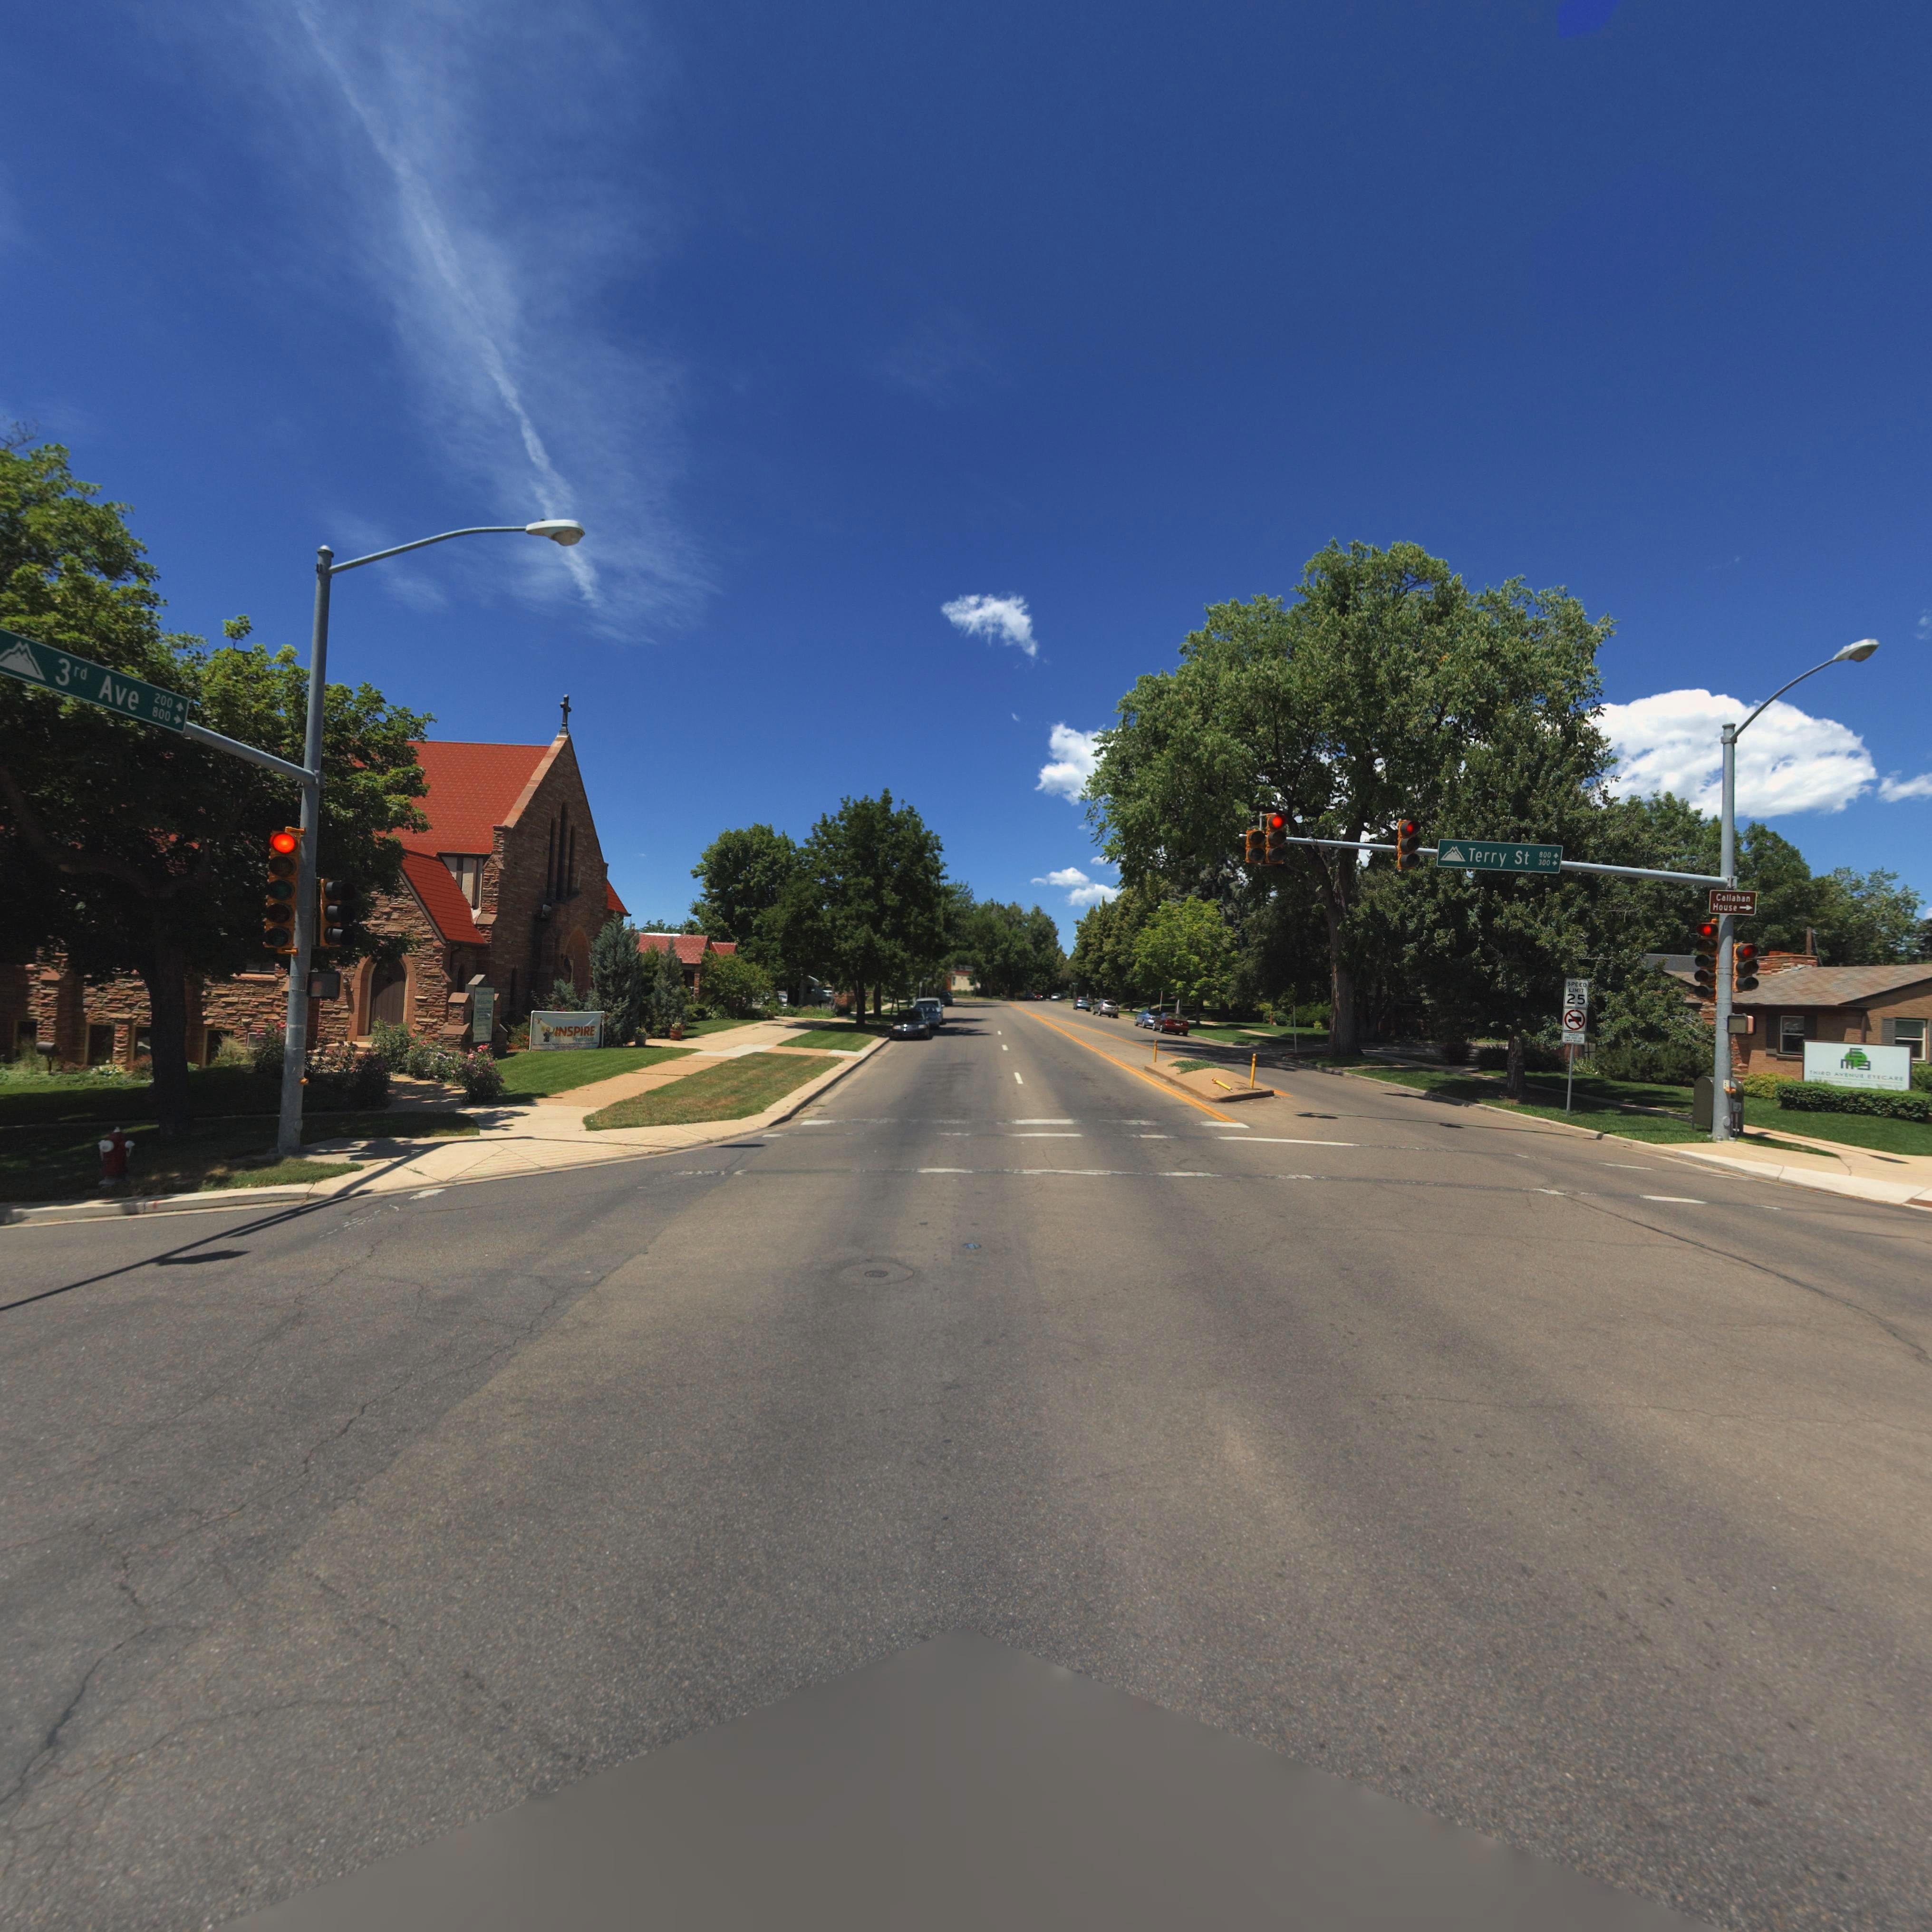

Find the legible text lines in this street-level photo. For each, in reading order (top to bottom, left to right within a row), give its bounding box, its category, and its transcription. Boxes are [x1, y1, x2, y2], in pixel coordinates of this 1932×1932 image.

[54, 657, 139, 711] StreetName: 3rd Ave
[153, 692, 173, 709] StreetNumberRange: 200
[152, 705, 182, 724] StreetNumberRange: 800->
[1468, 847, 1530, 867] StreetName: Terry St
[1538, 851, 1551, 858] StreetNumberRange: 800
[1538, 859, 1557, 866] StreetNumberRange: 300->
[1809, 1070, 1903, 1082] BusinessName: THIRD AVENUE EYECARE